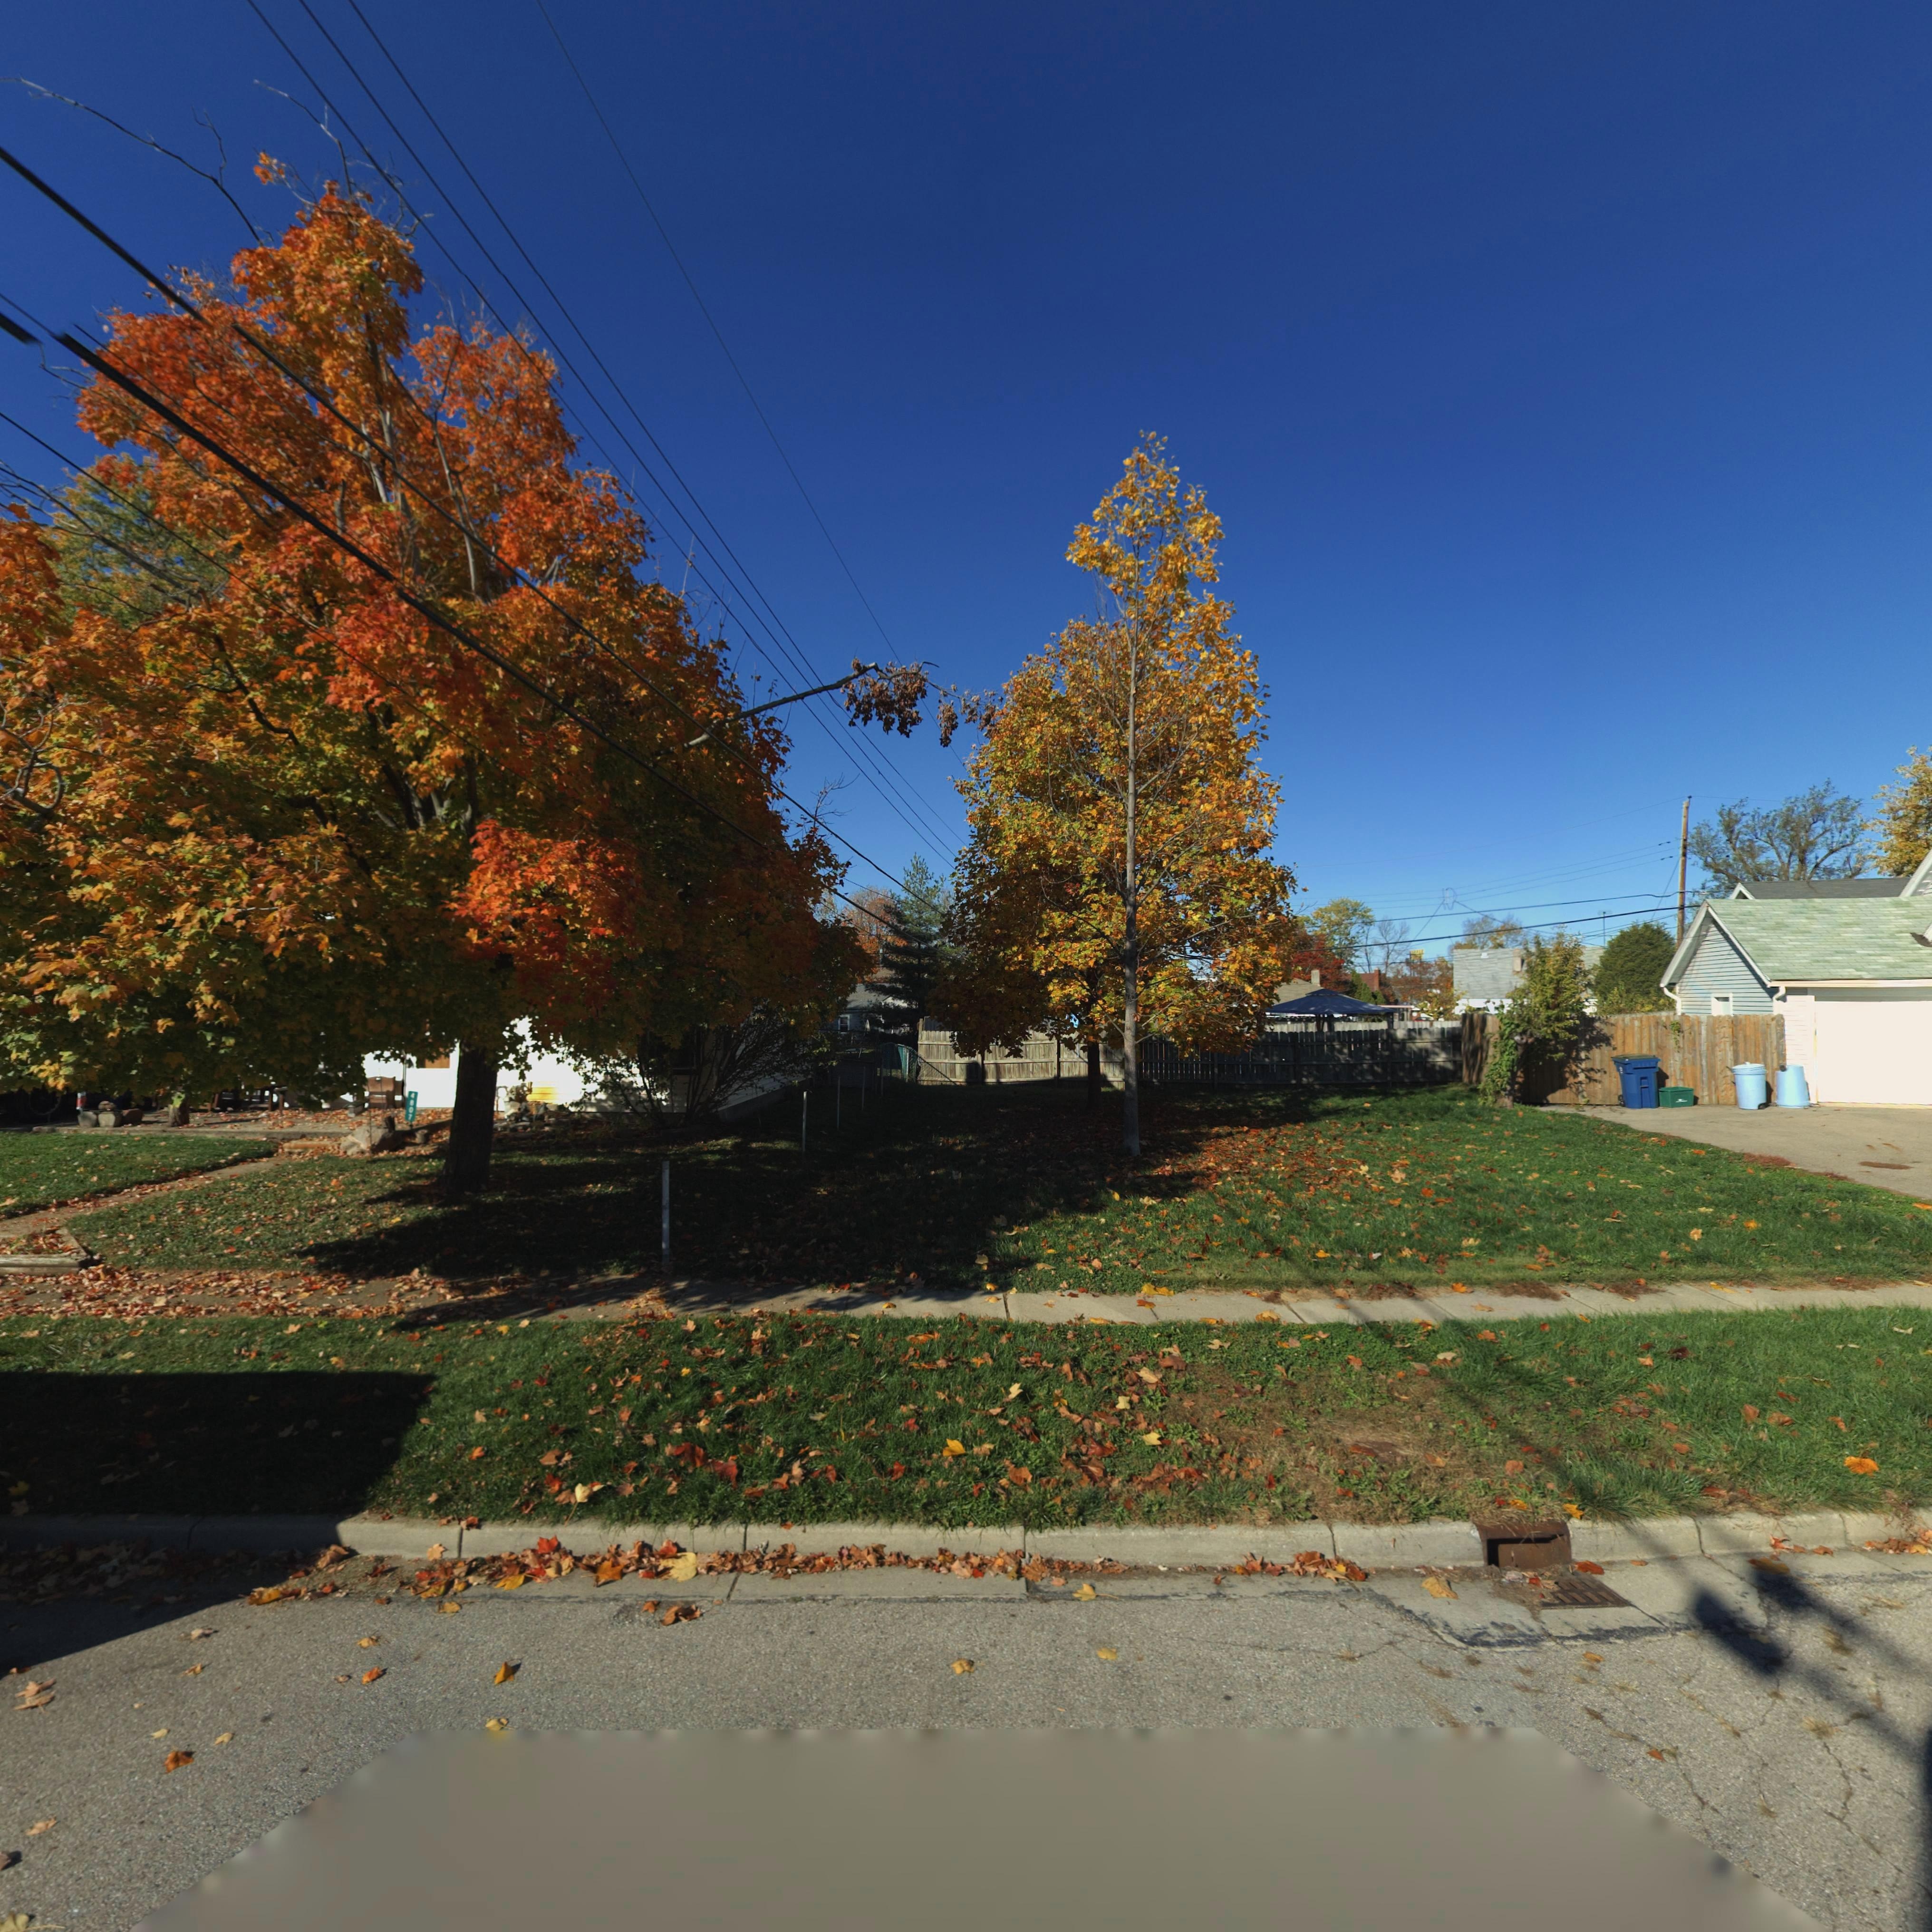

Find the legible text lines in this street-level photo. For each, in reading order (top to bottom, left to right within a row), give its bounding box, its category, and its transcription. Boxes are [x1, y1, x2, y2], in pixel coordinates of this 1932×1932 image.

[407, 1092, 416, 1121] StreetNumber: 4807